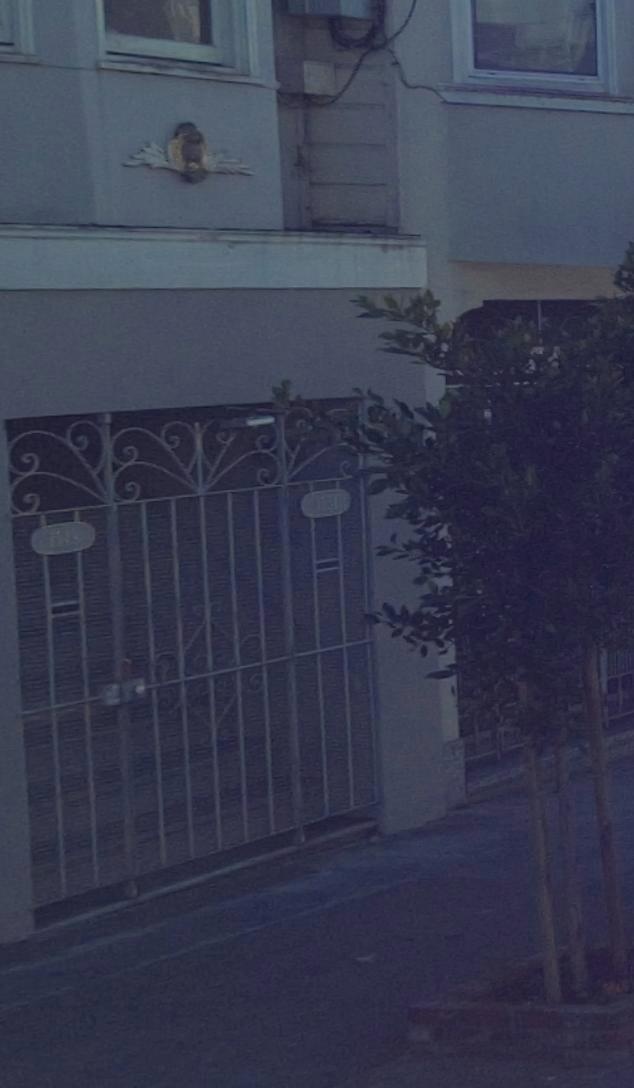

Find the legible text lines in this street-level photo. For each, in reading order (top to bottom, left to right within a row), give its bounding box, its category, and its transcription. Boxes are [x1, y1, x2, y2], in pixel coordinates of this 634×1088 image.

[314, 492, 339, 513] StreetNumber: 1551
[47, 526, 82, 550] StreetNumber: 1549